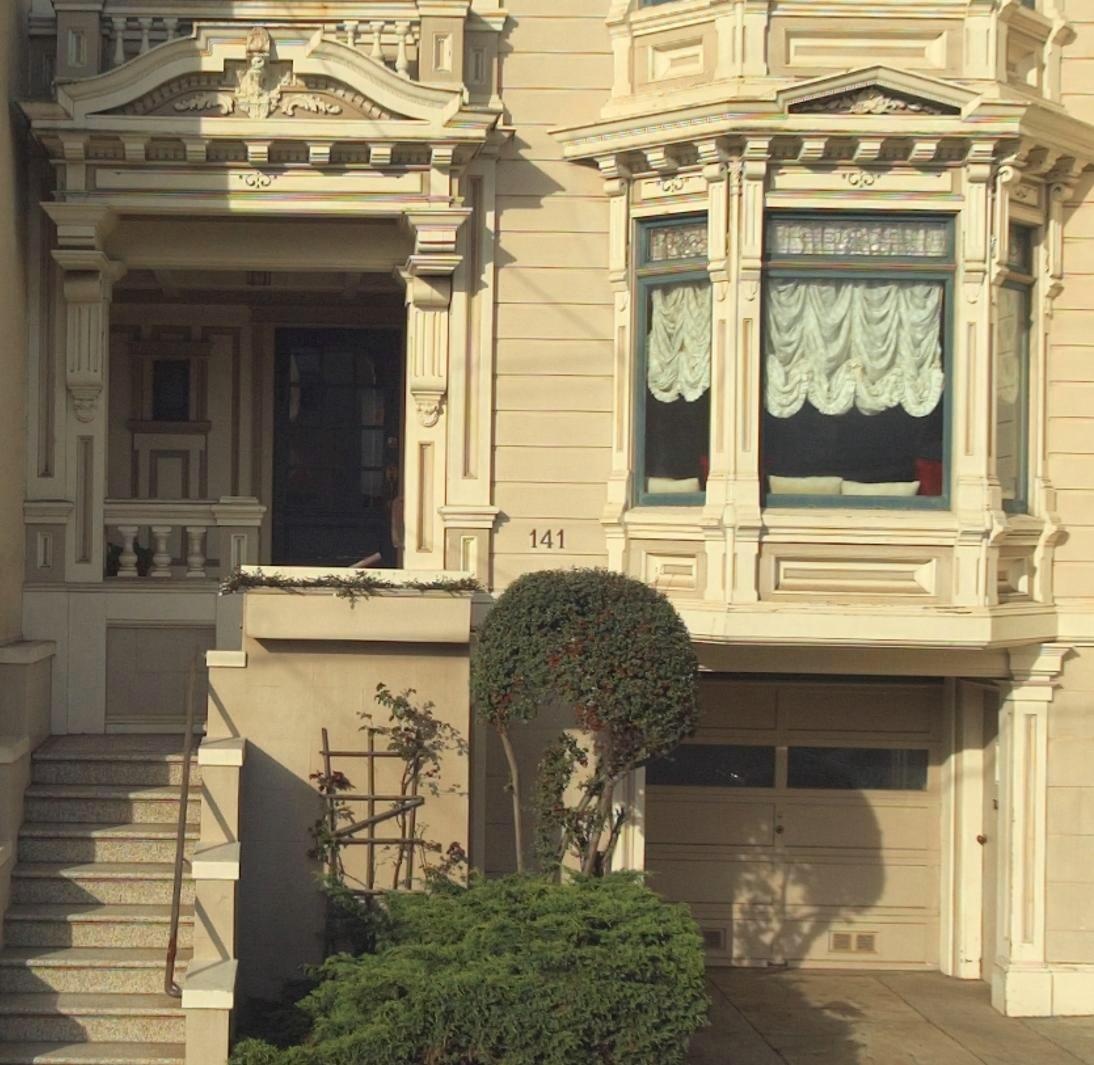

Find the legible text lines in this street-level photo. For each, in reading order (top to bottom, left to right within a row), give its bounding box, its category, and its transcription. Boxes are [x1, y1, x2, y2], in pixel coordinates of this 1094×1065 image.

[527, 526, 567, 551] StreetNumber: 141